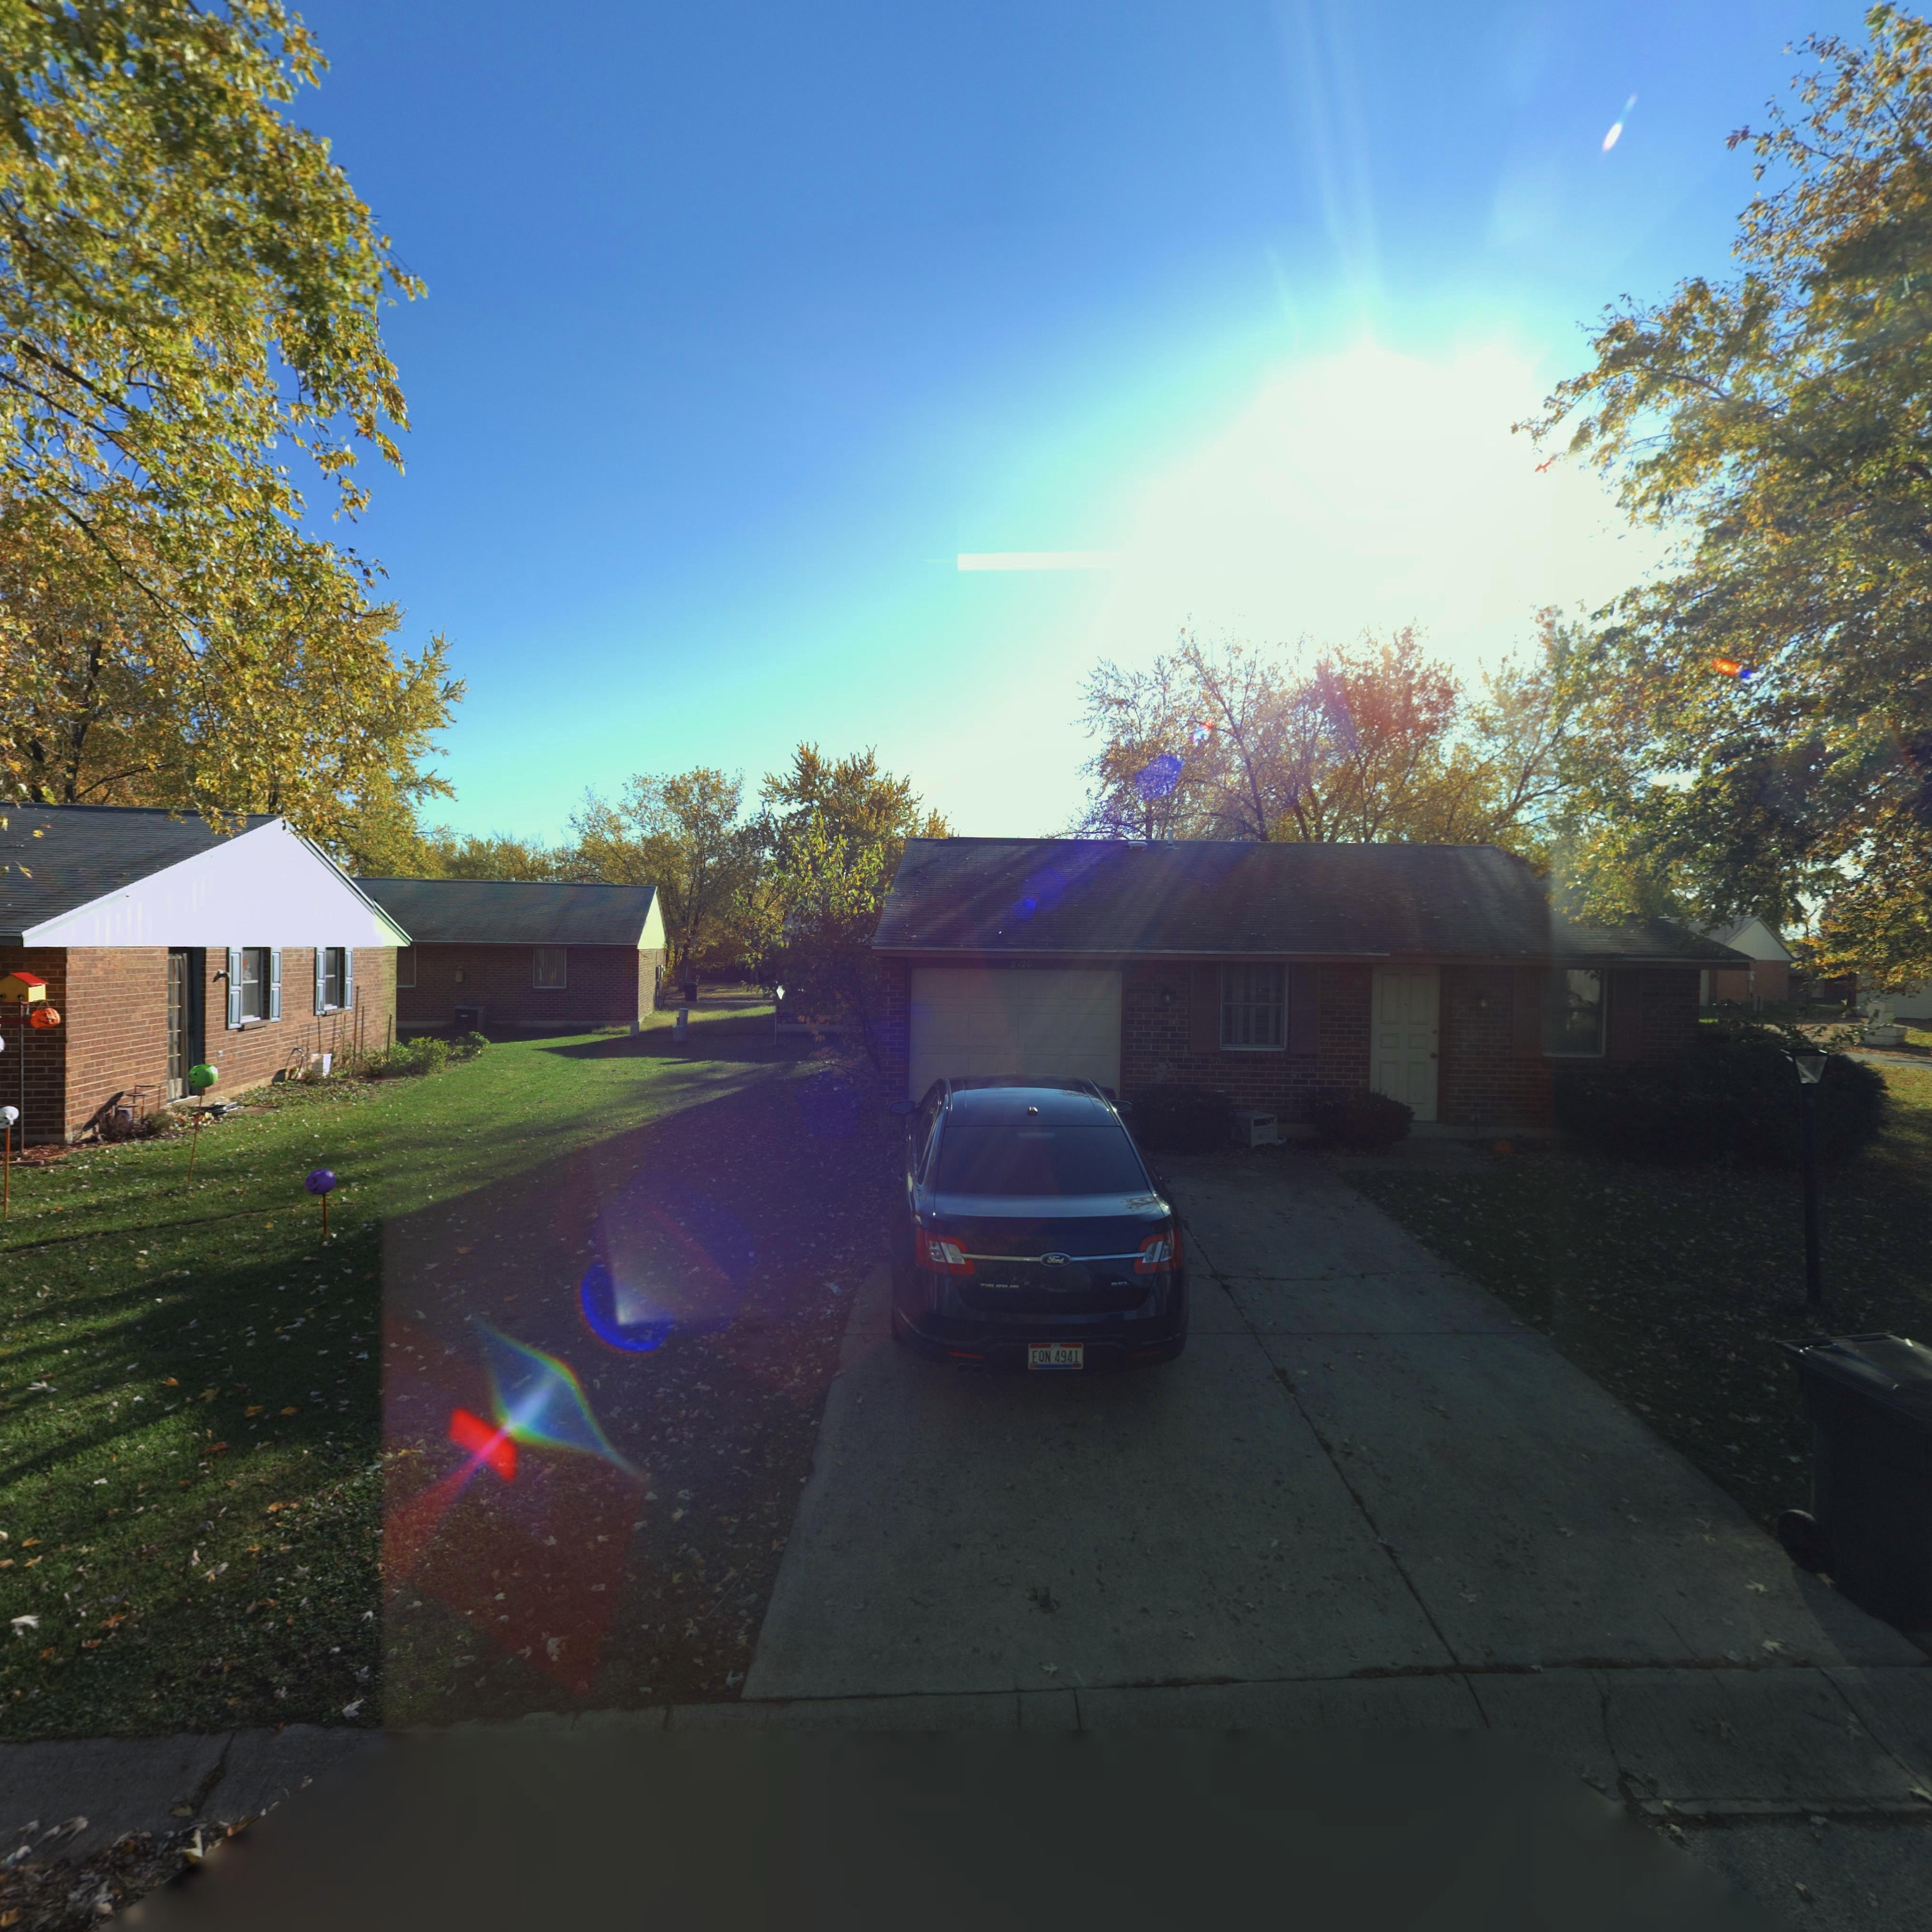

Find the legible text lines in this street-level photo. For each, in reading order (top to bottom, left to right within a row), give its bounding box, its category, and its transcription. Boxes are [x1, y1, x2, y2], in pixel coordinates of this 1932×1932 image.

[1010, 959, 1033, 969] StreetNumber: 8120